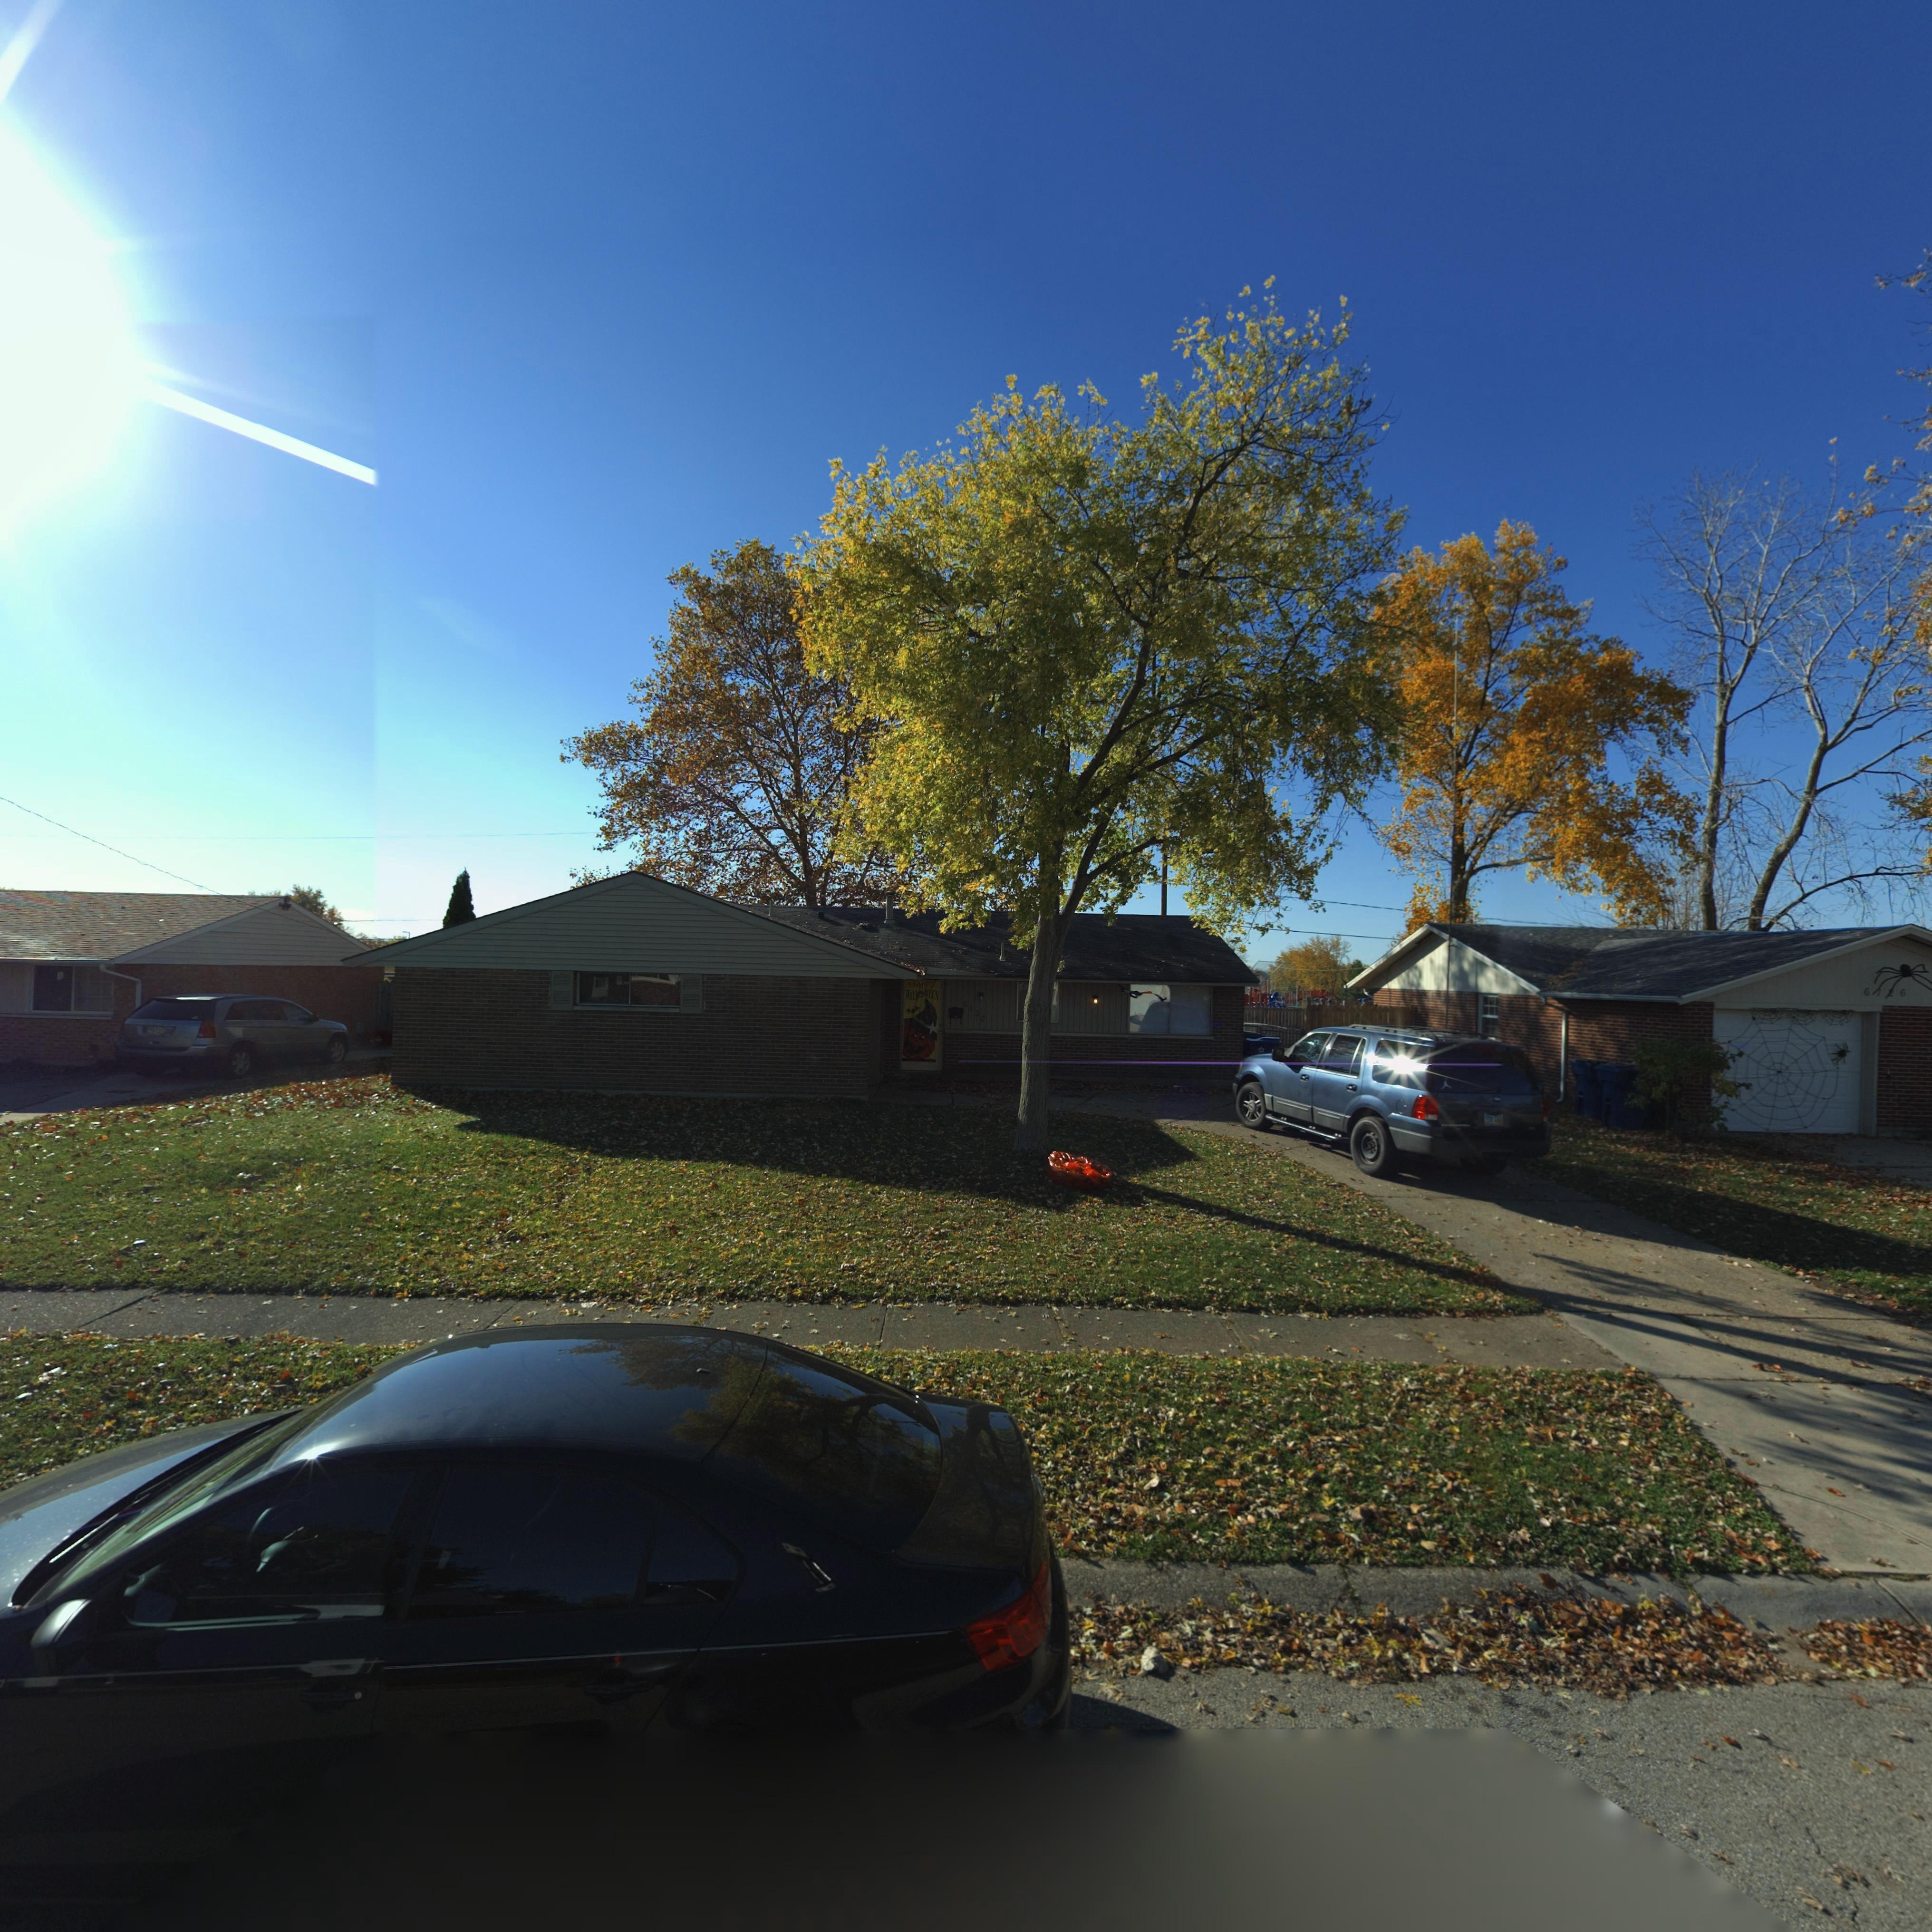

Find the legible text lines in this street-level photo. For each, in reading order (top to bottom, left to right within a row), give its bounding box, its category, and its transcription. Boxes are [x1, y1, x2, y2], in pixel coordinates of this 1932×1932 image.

[1863, 986, 1907, 998] StreetNumber: 61*6
[964, 1000, 986, 1023] StreetNumber: 6132